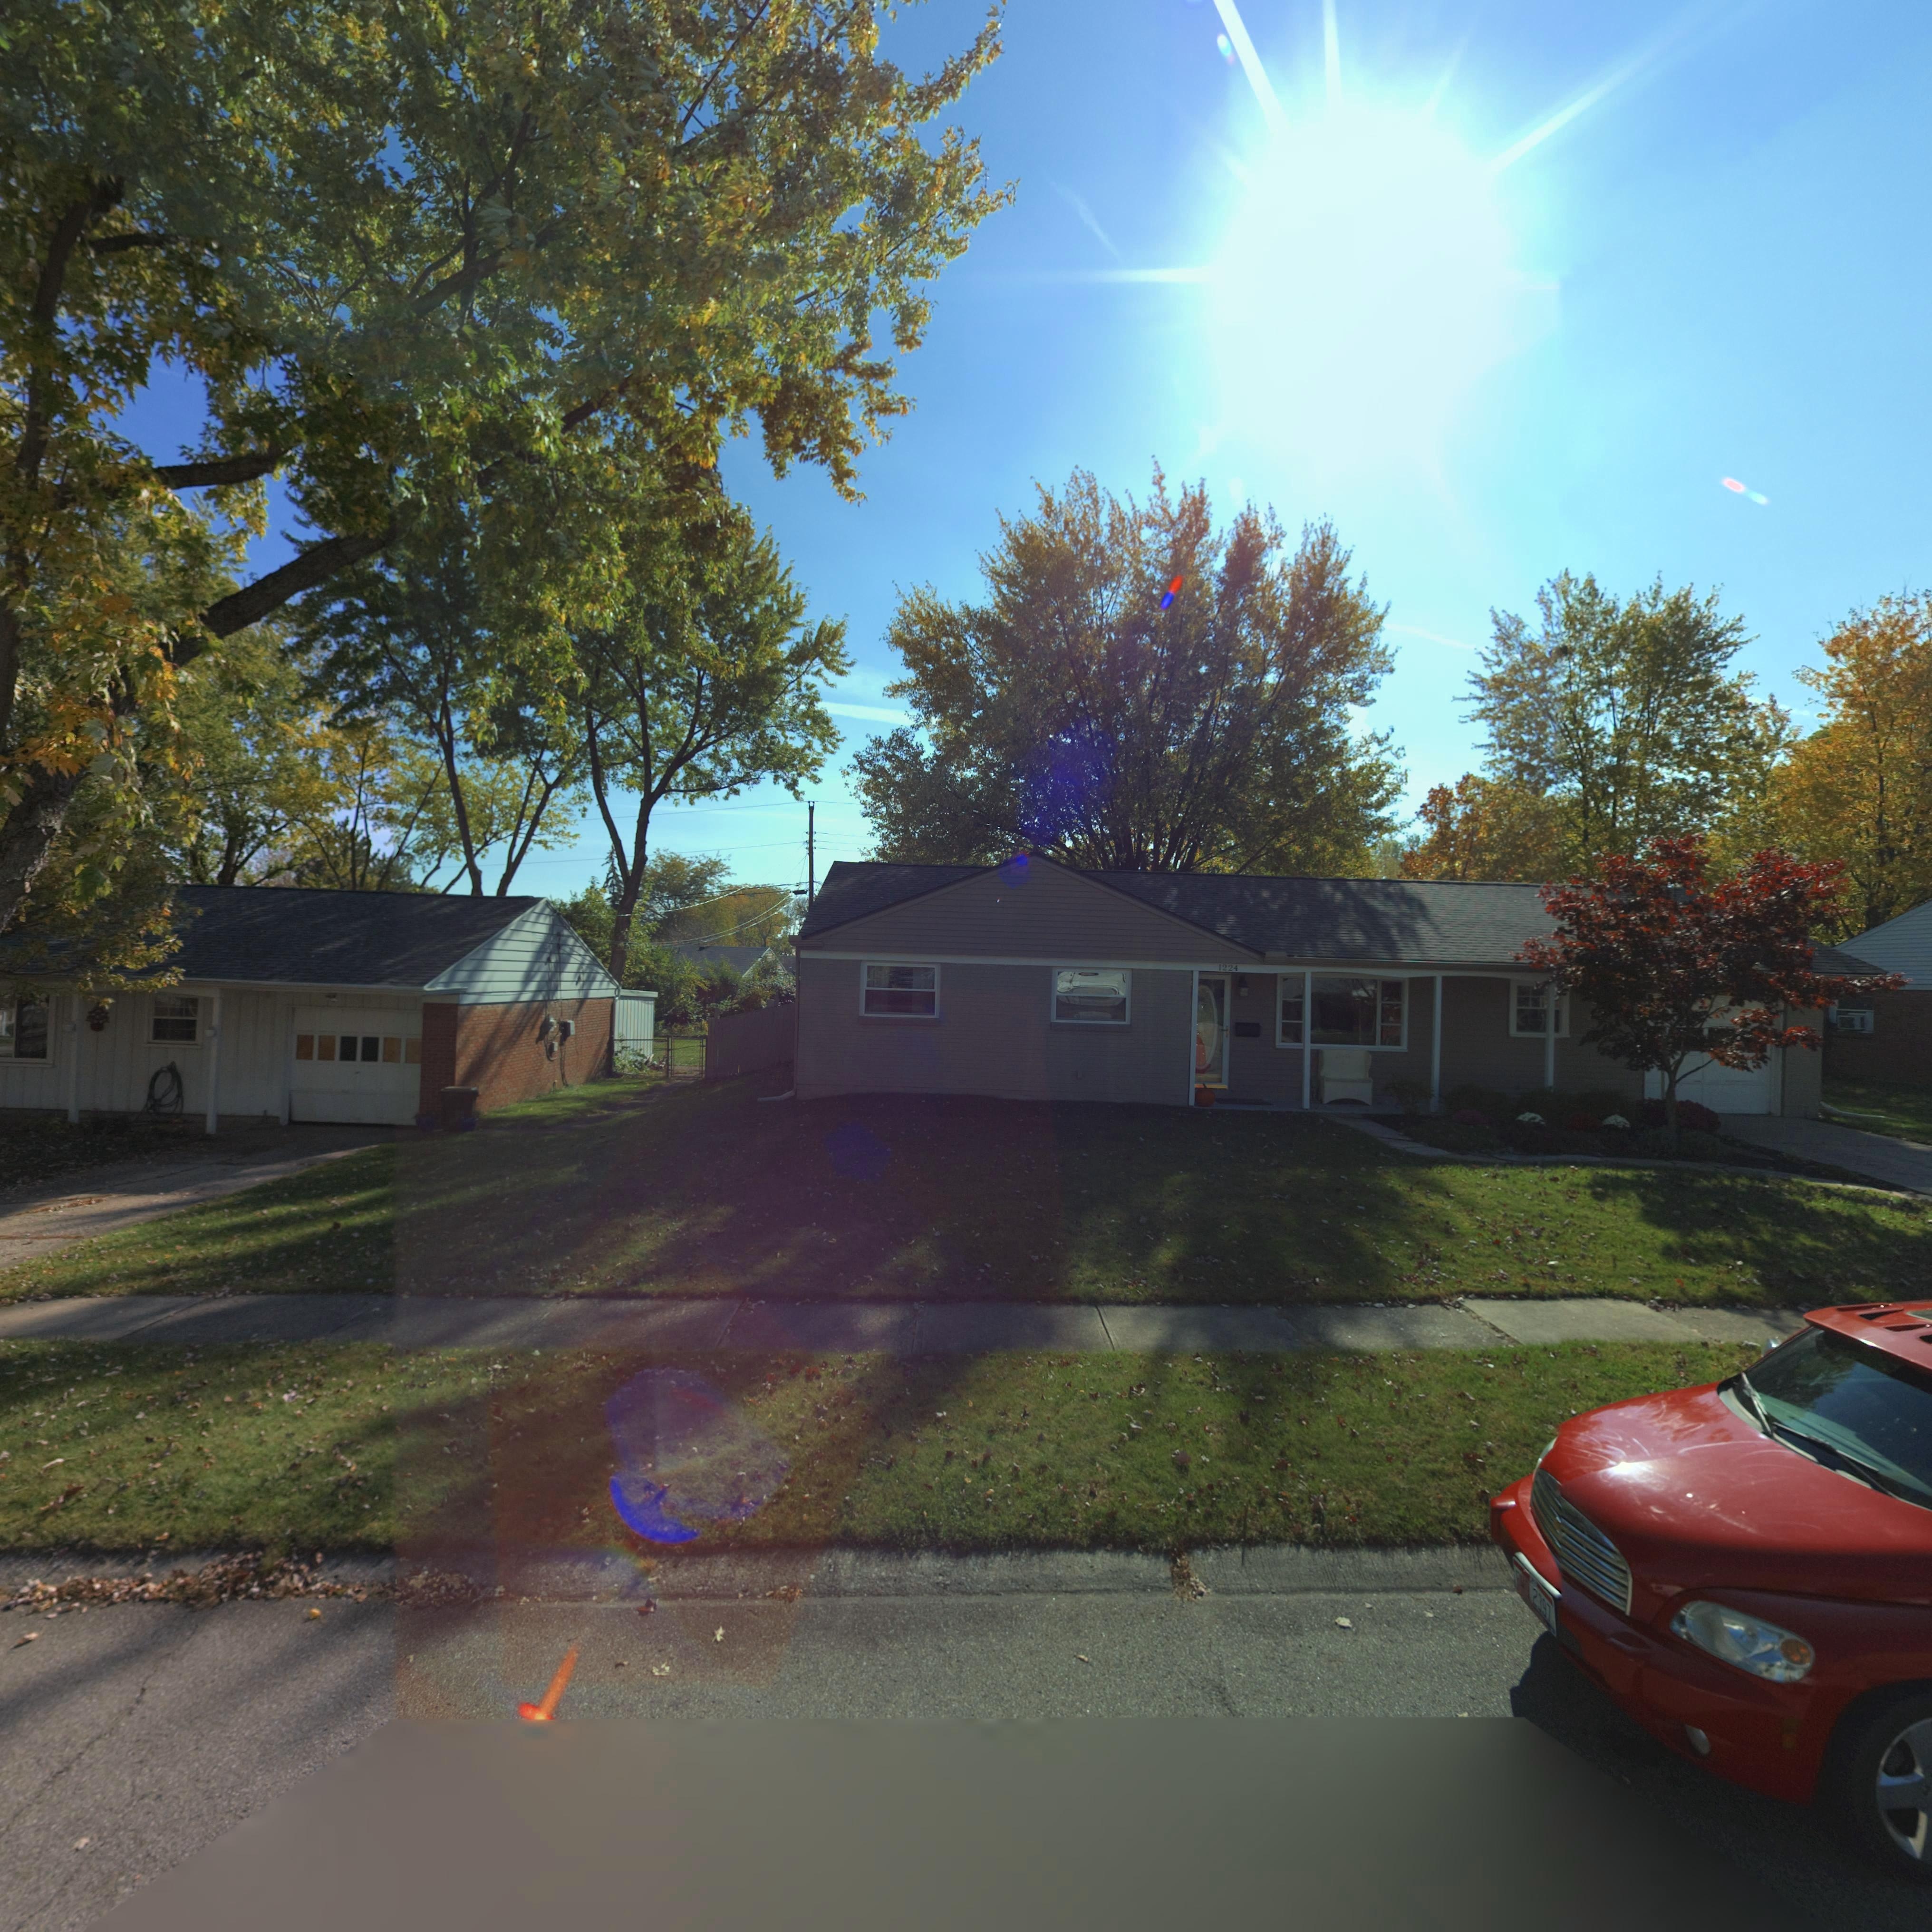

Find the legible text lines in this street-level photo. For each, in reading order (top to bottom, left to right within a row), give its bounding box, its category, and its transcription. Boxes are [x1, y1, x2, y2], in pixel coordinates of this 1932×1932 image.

[1218, 963, 1238, 972] StreetNumber: 1224